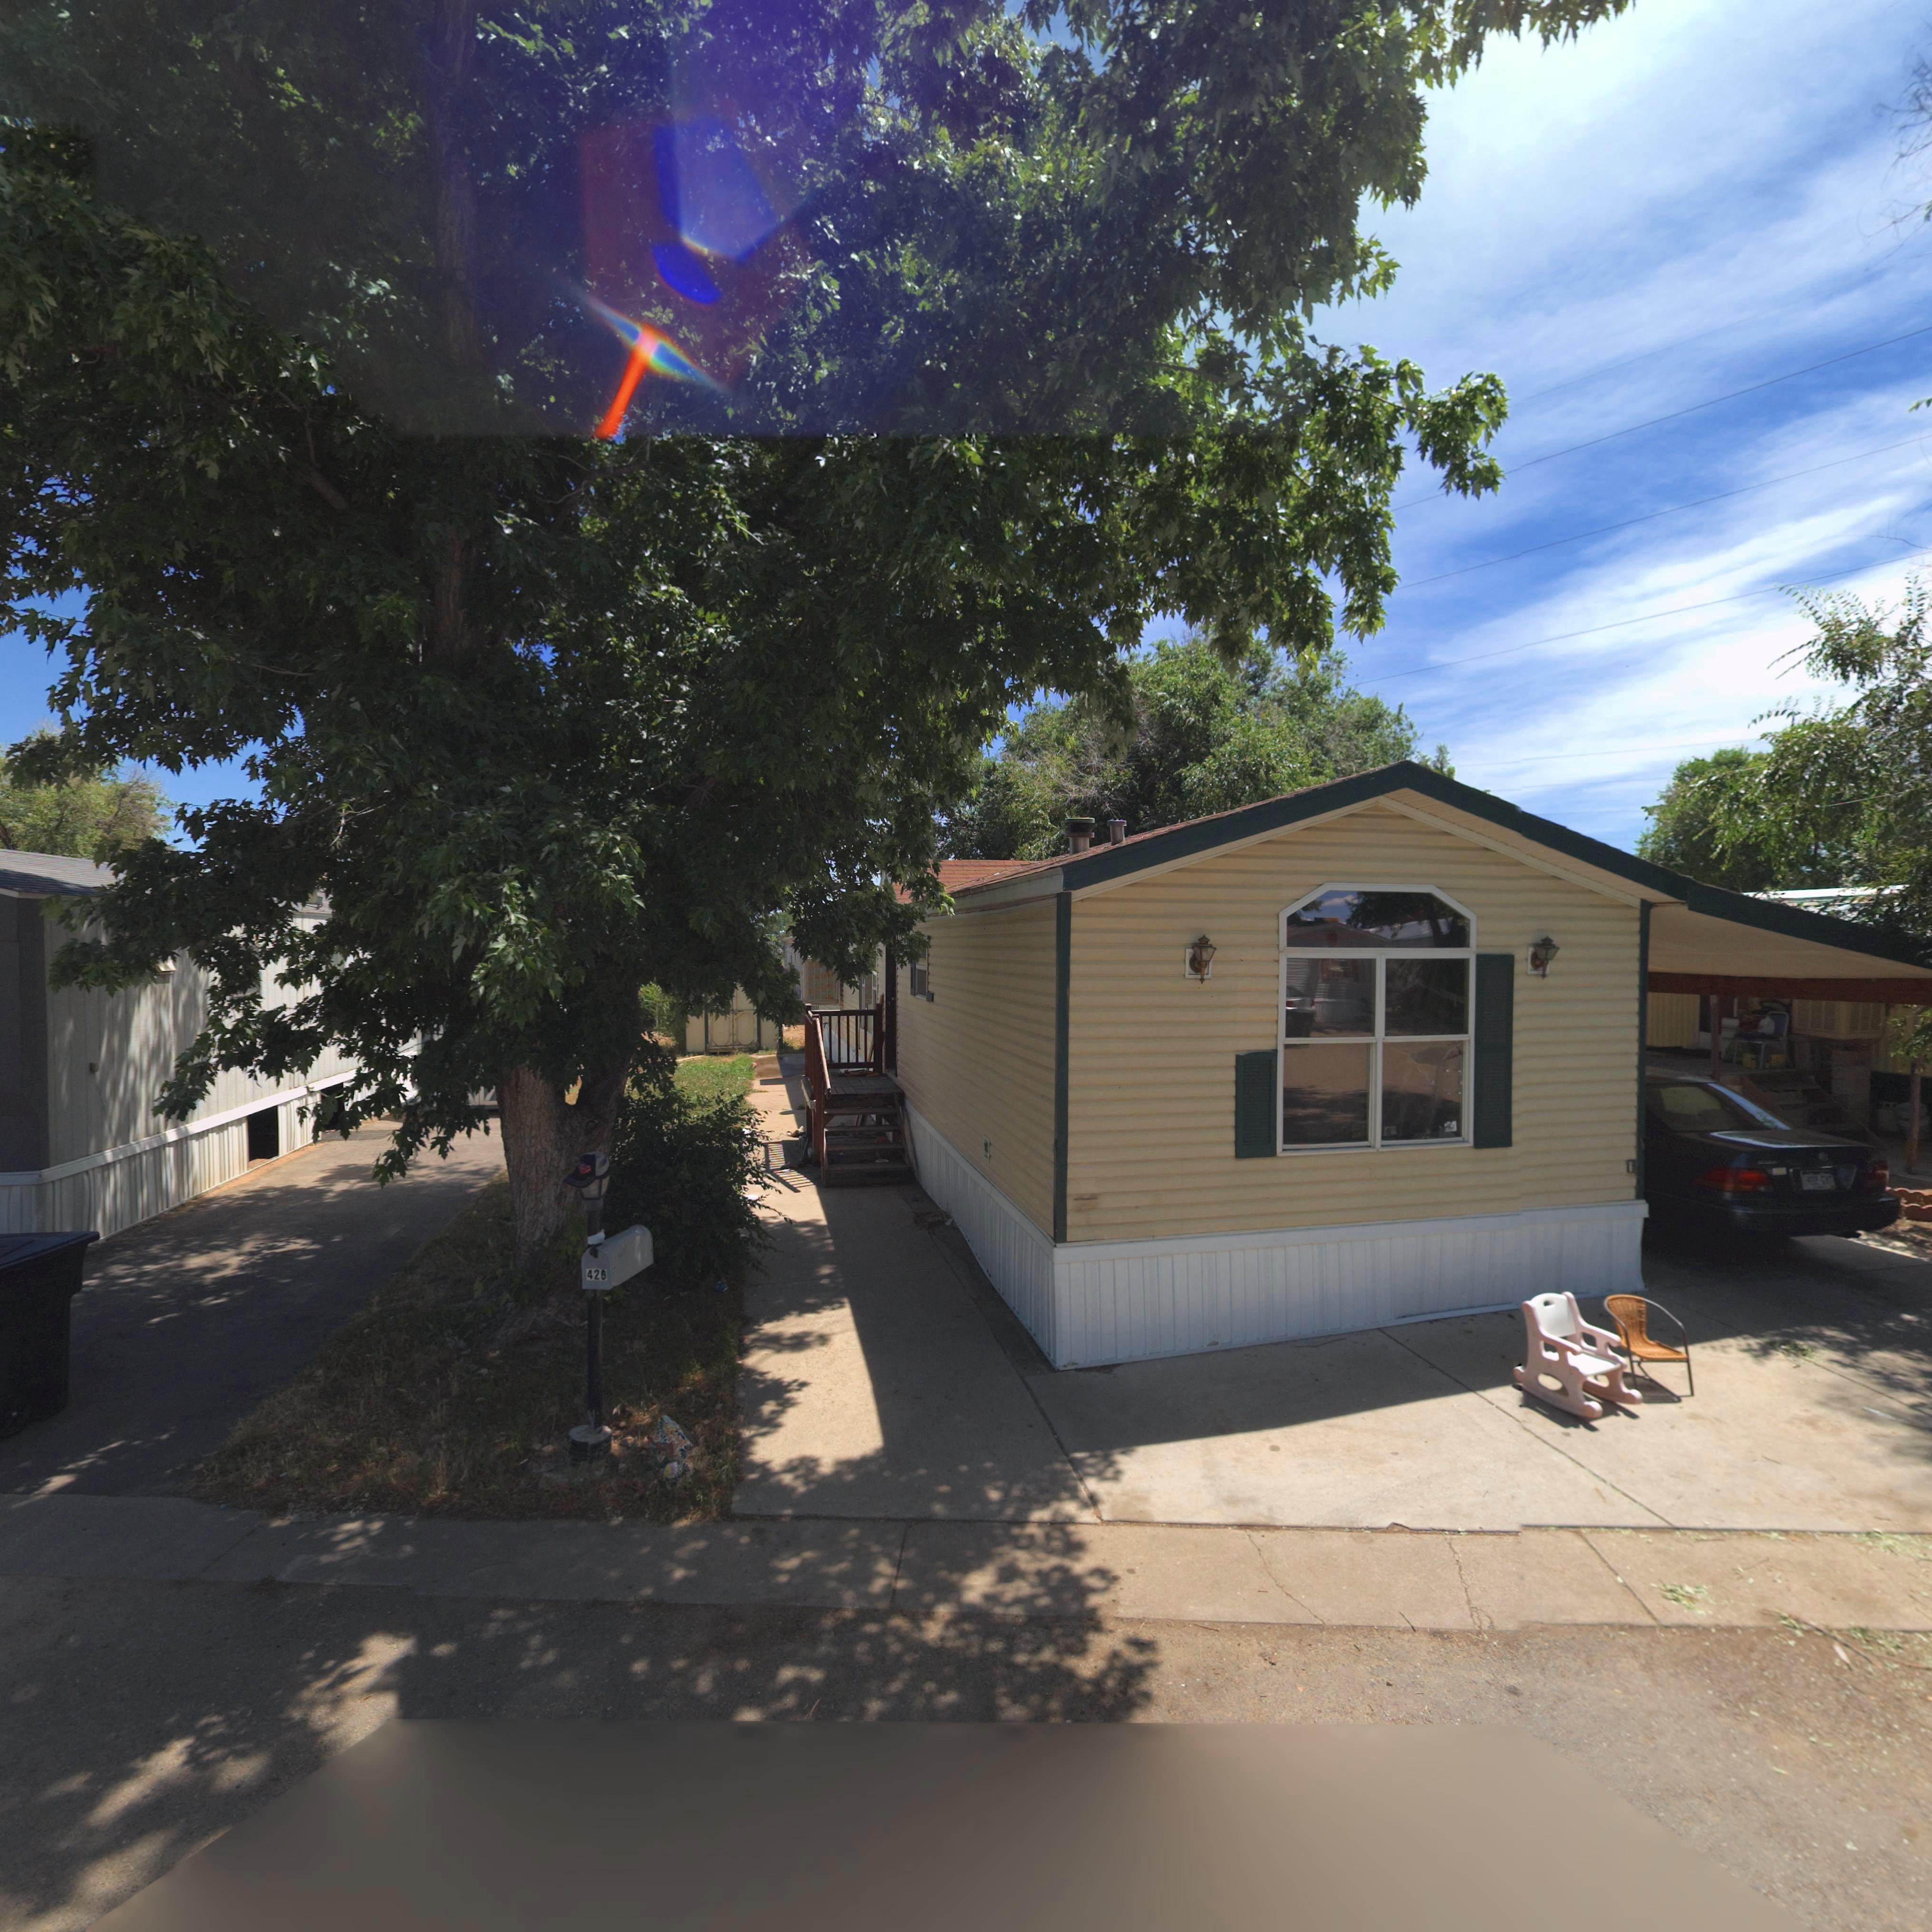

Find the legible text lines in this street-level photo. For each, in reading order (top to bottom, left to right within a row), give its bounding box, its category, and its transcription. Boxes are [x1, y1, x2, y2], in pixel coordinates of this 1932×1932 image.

[587, 1269, 606, 1280] StreetNumber: 426